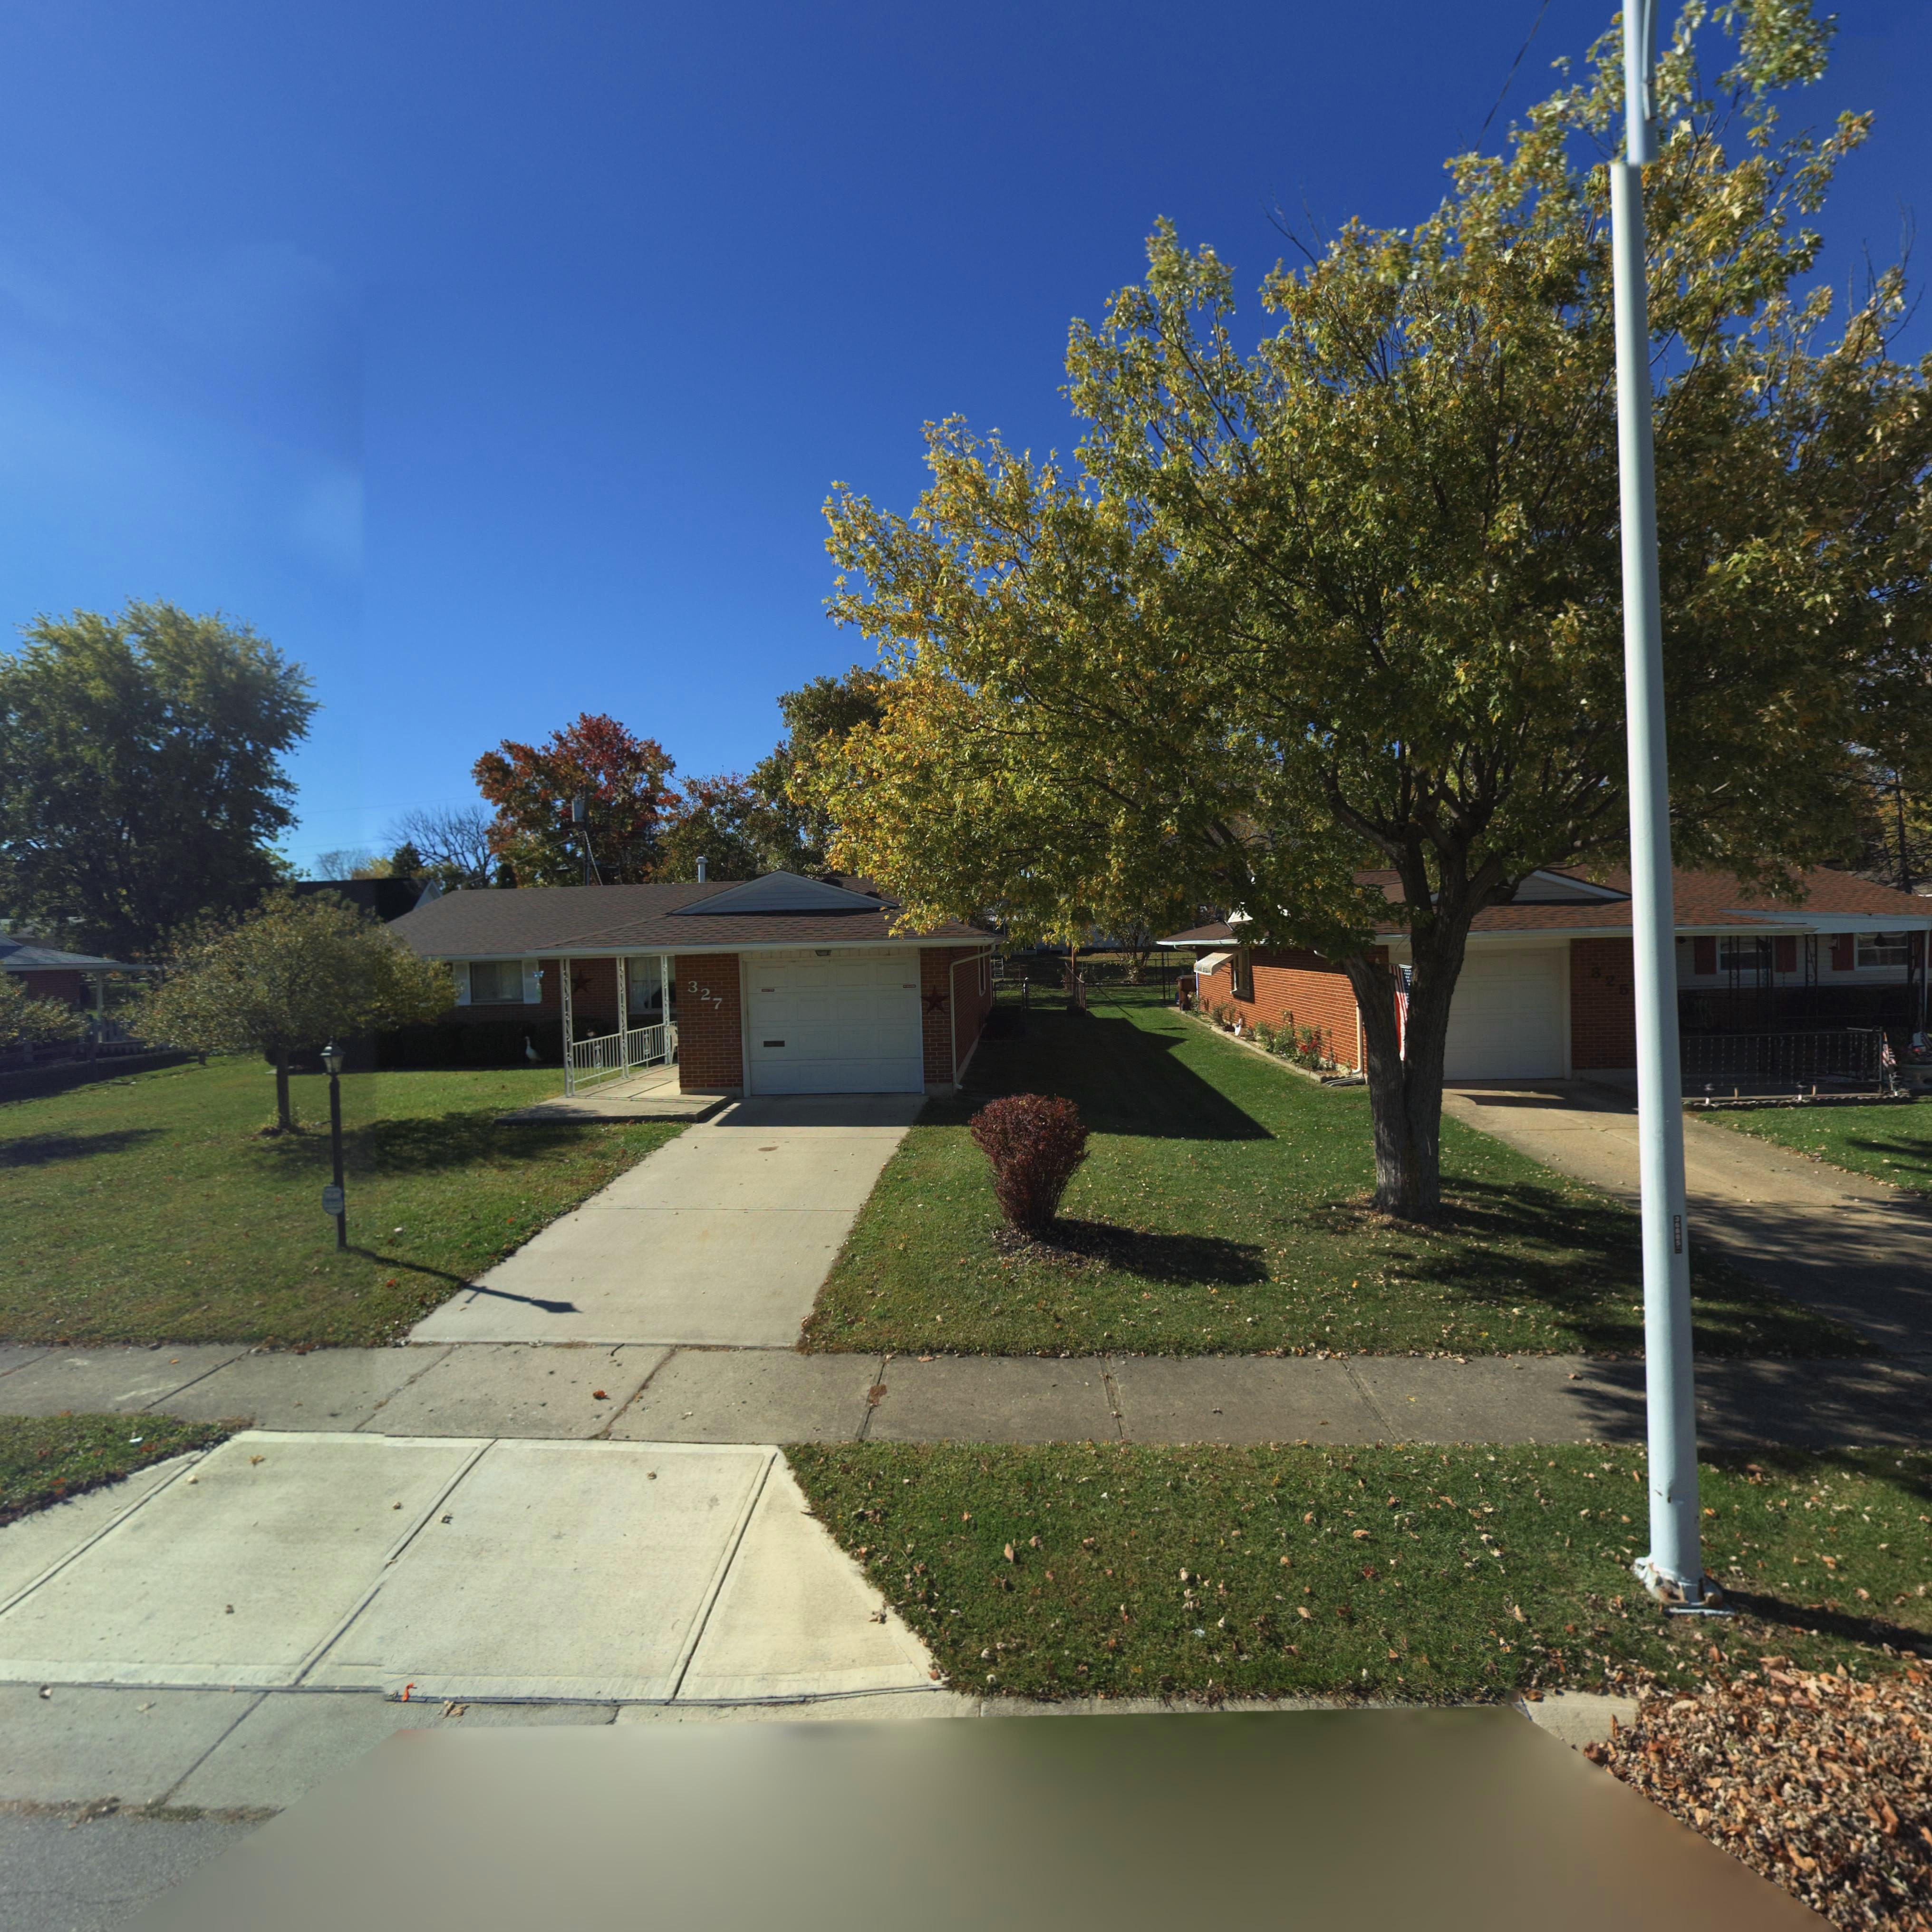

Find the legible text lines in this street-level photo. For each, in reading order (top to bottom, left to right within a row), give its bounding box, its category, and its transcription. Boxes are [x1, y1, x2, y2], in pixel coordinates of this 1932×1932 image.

[685, 979, 724, 1011] StreetNumber: 327
[1590, 966, 1630, 997] StreetNumber: 325